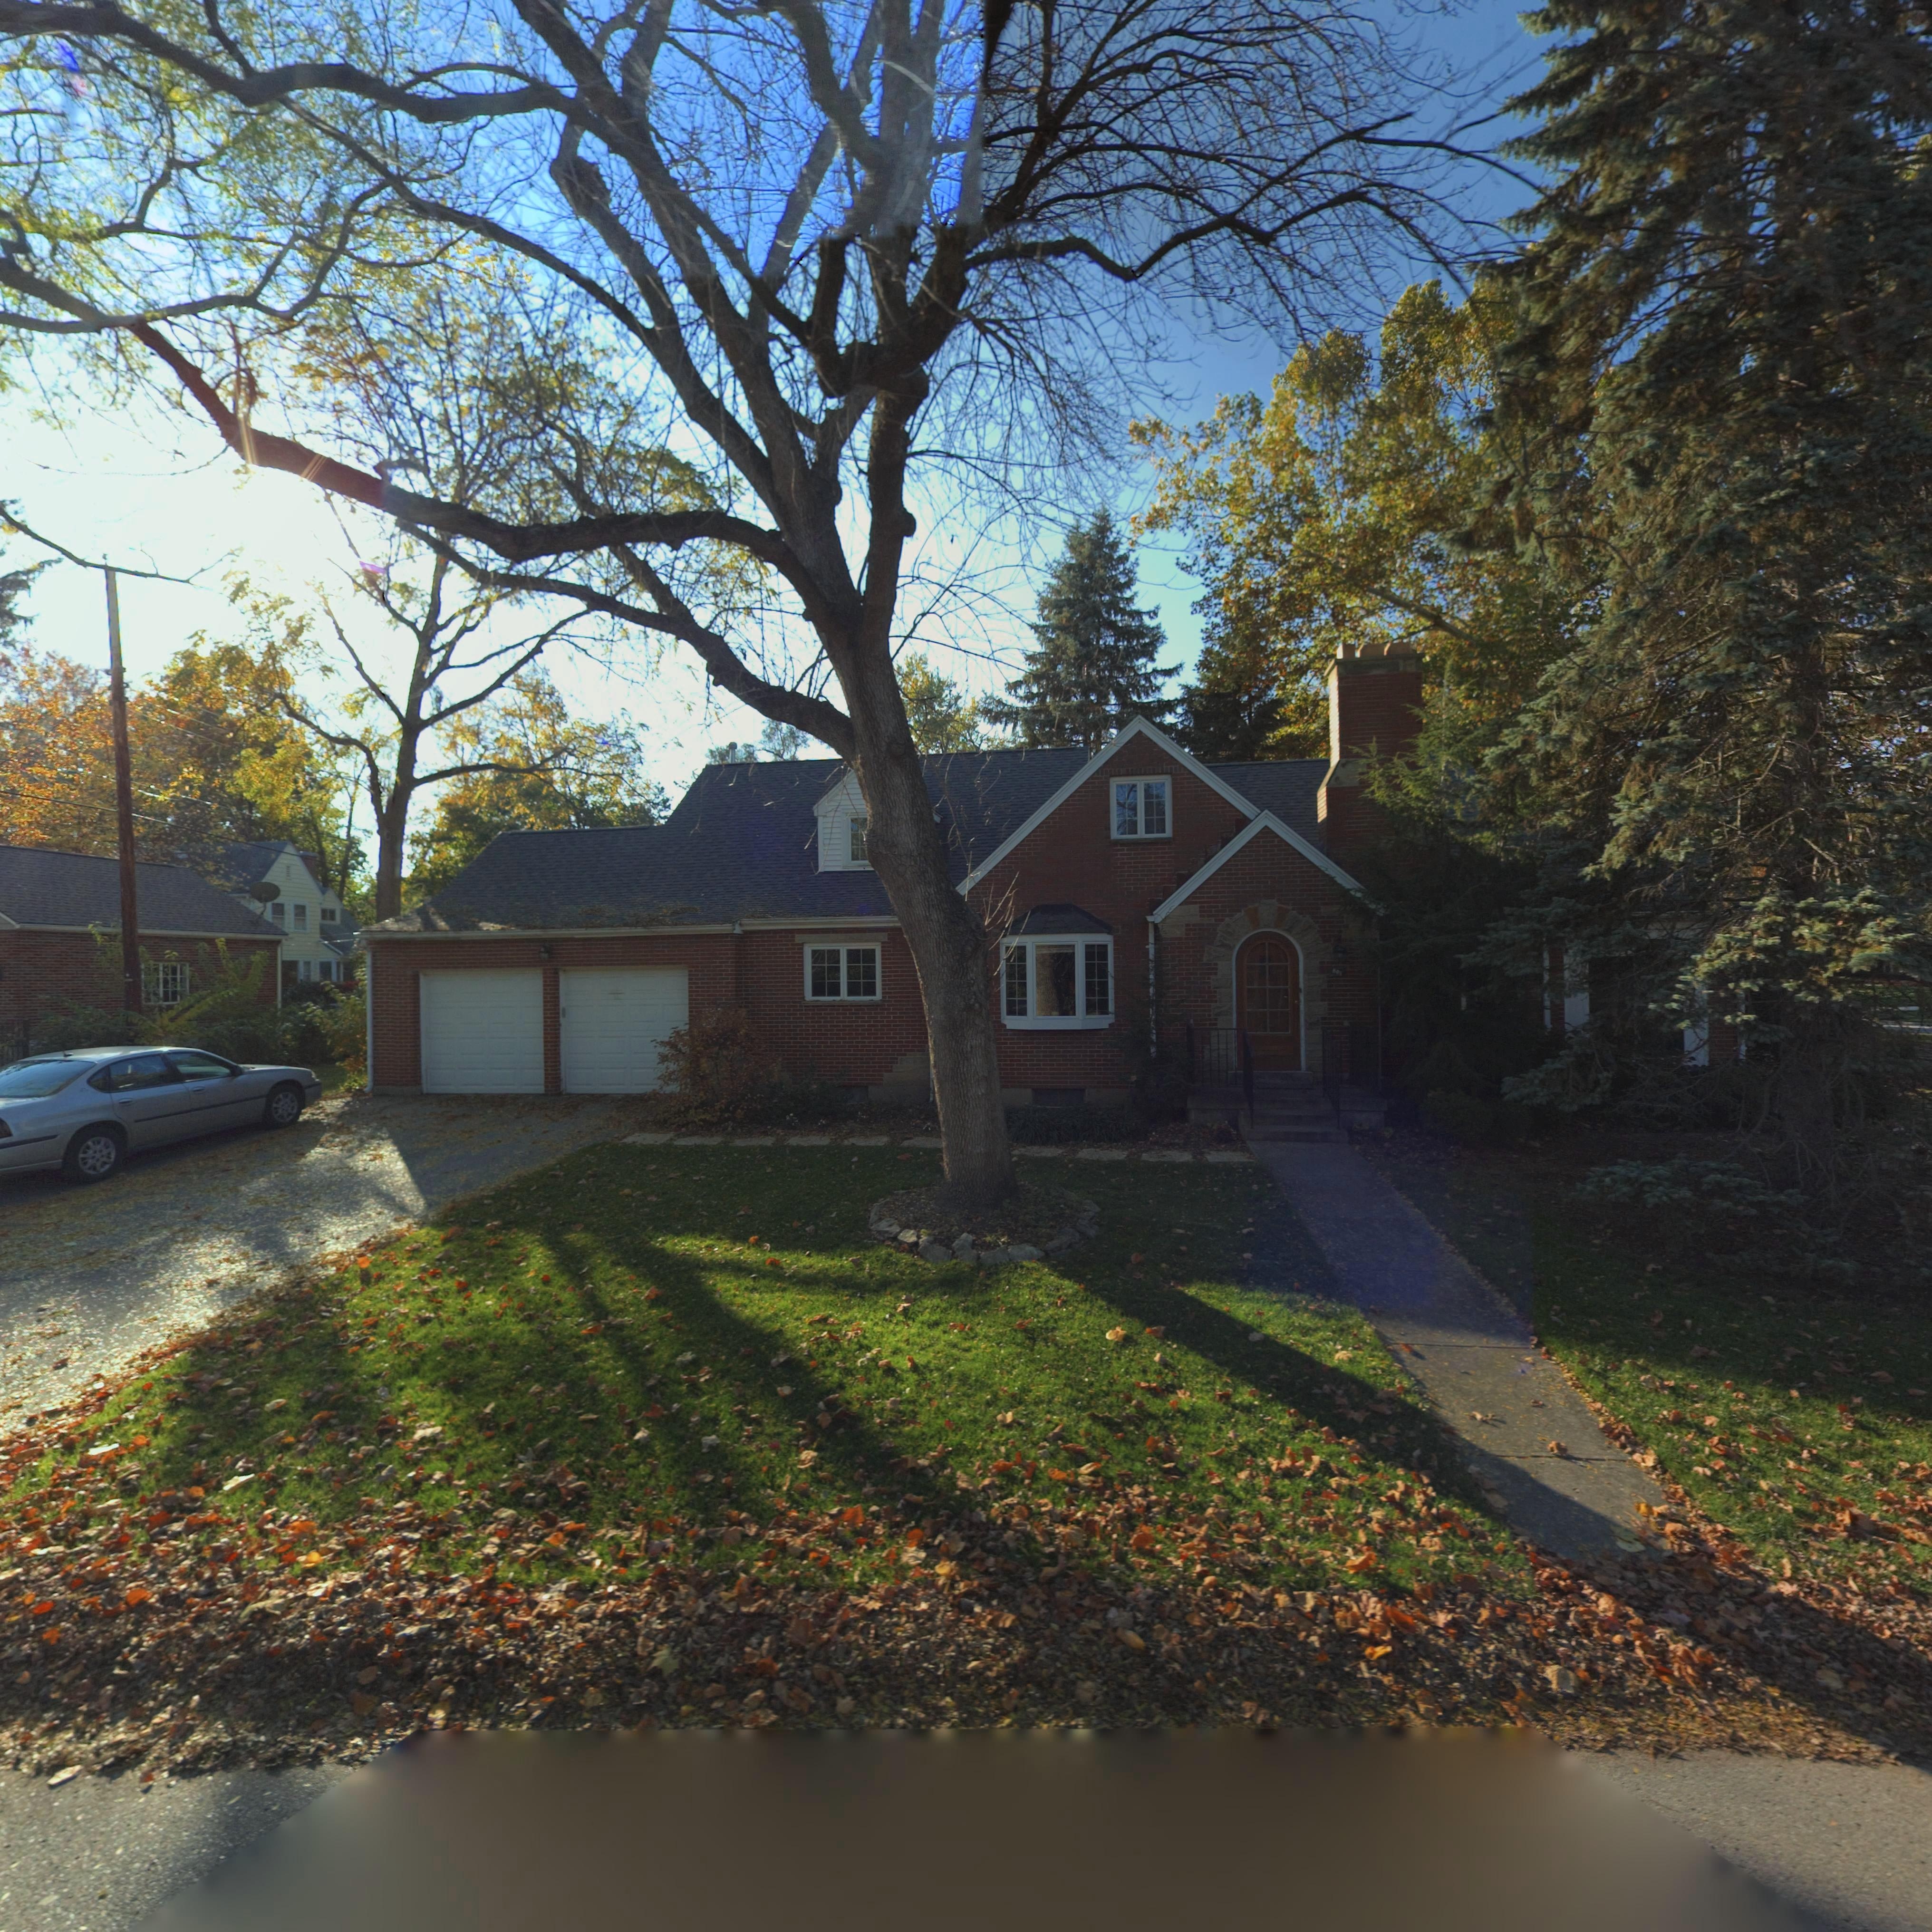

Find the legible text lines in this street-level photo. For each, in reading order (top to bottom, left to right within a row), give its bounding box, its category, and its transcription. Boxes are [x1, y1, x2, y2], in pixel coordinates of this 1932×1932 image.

[1332, 967, 1343, 977] StreetNumber: 8*1